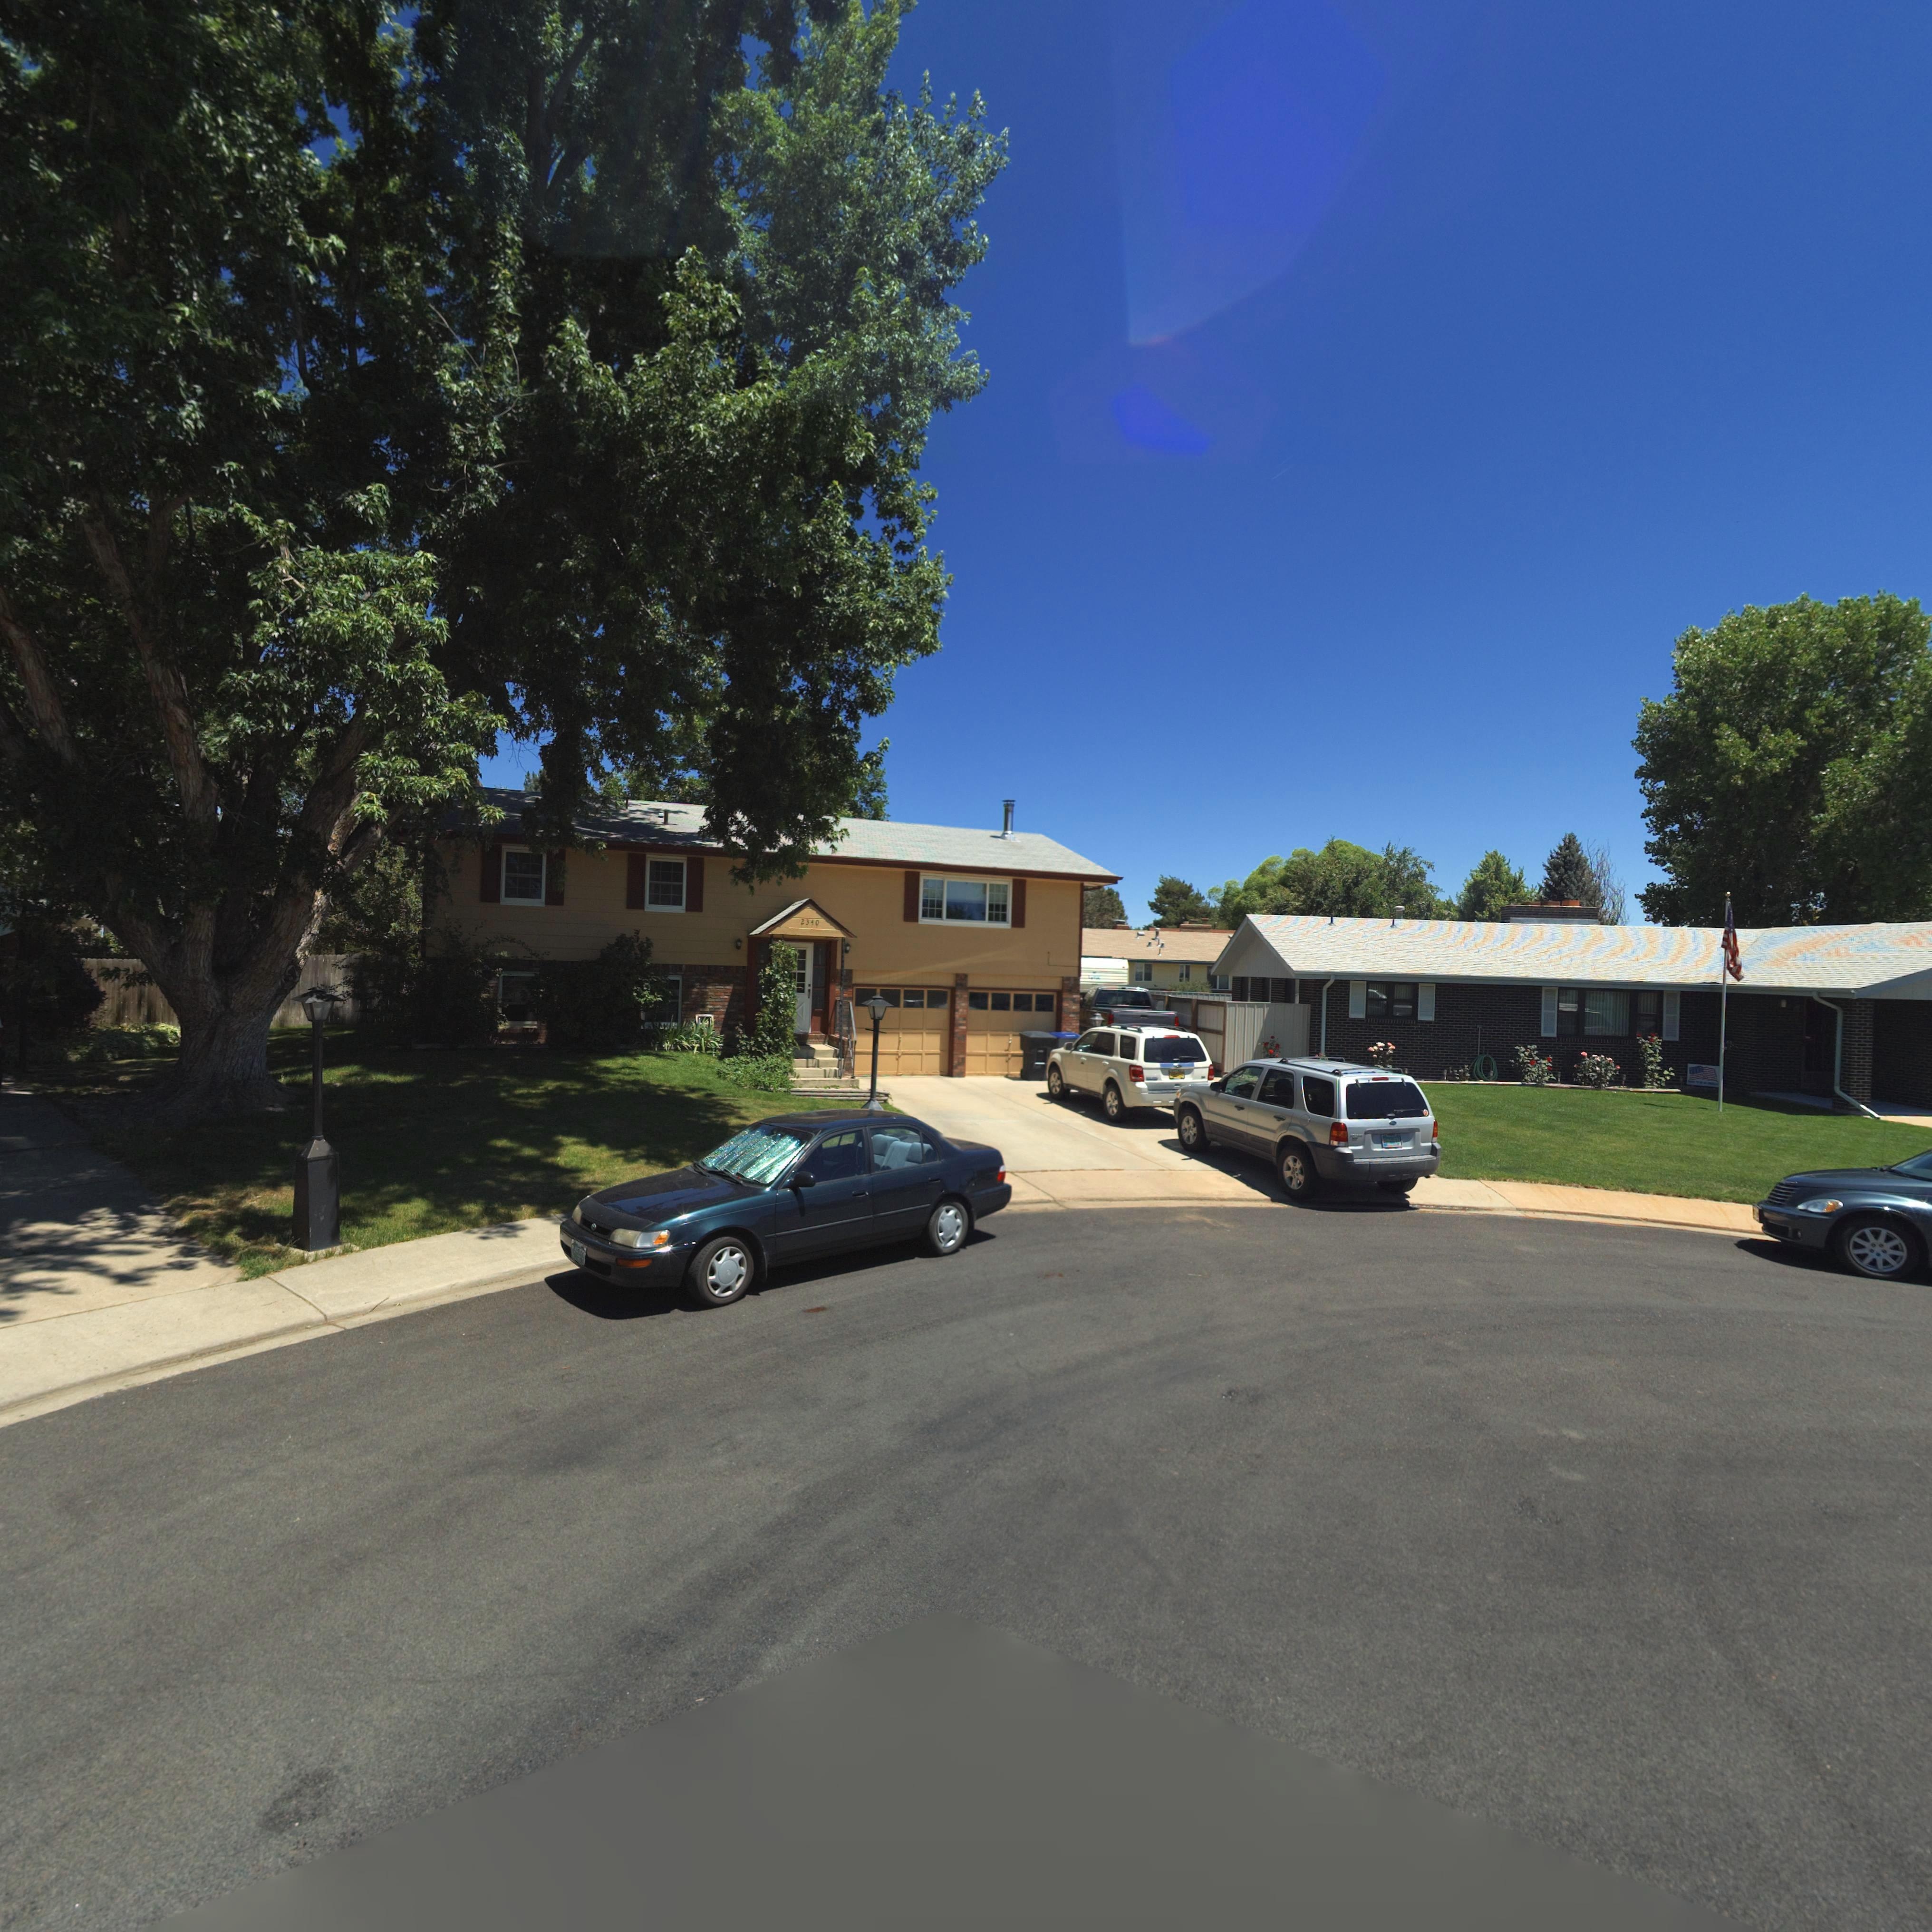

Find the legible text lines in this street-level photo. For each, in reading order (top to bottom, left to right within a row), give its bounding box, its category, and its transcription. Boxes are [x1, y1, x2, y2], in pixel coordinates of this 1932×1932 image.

[801, 918, 820, 926] StreetNumber: 2340